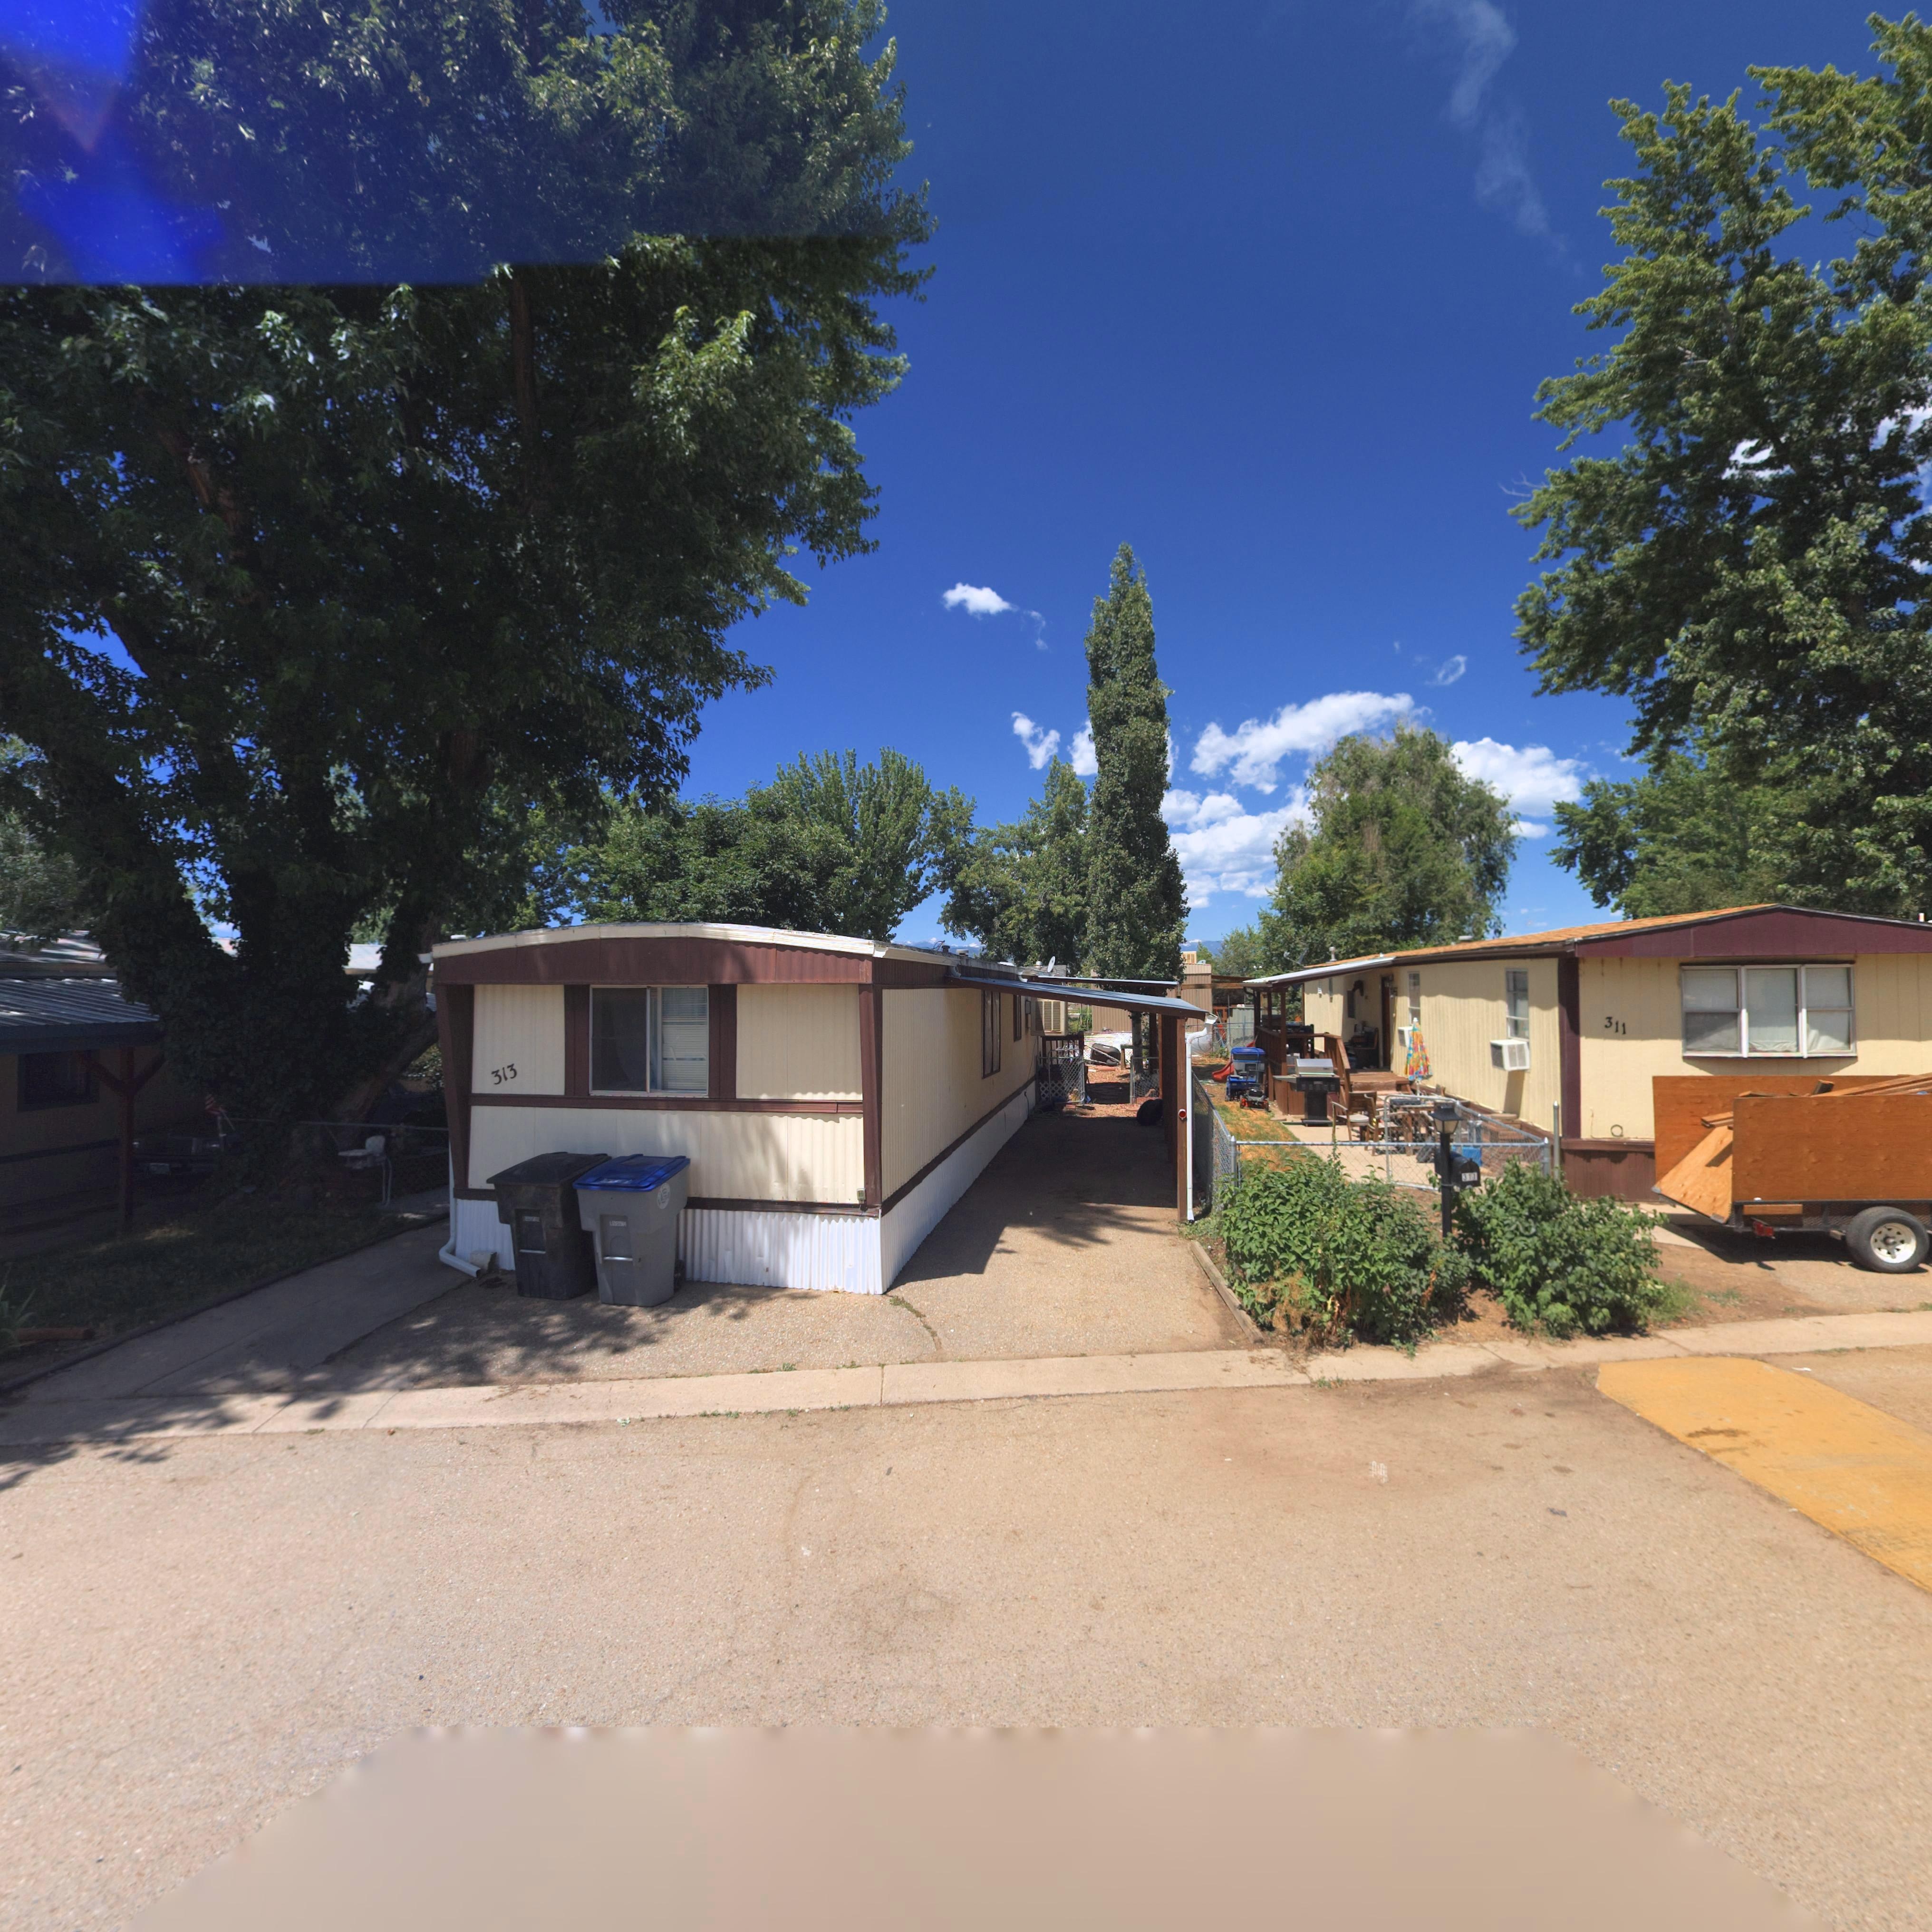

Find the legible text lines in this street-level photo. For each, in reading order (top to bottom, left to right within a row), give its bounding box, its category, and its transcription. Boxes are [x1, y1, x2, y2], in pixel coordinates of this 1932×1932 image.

[1604, 1016, 1626, 1034] StreetNumber: 311
[491, 1063, 517, 1085] StreetNumber: 313
[1462, 1173, 1476, 1180] StreetNumber: 311